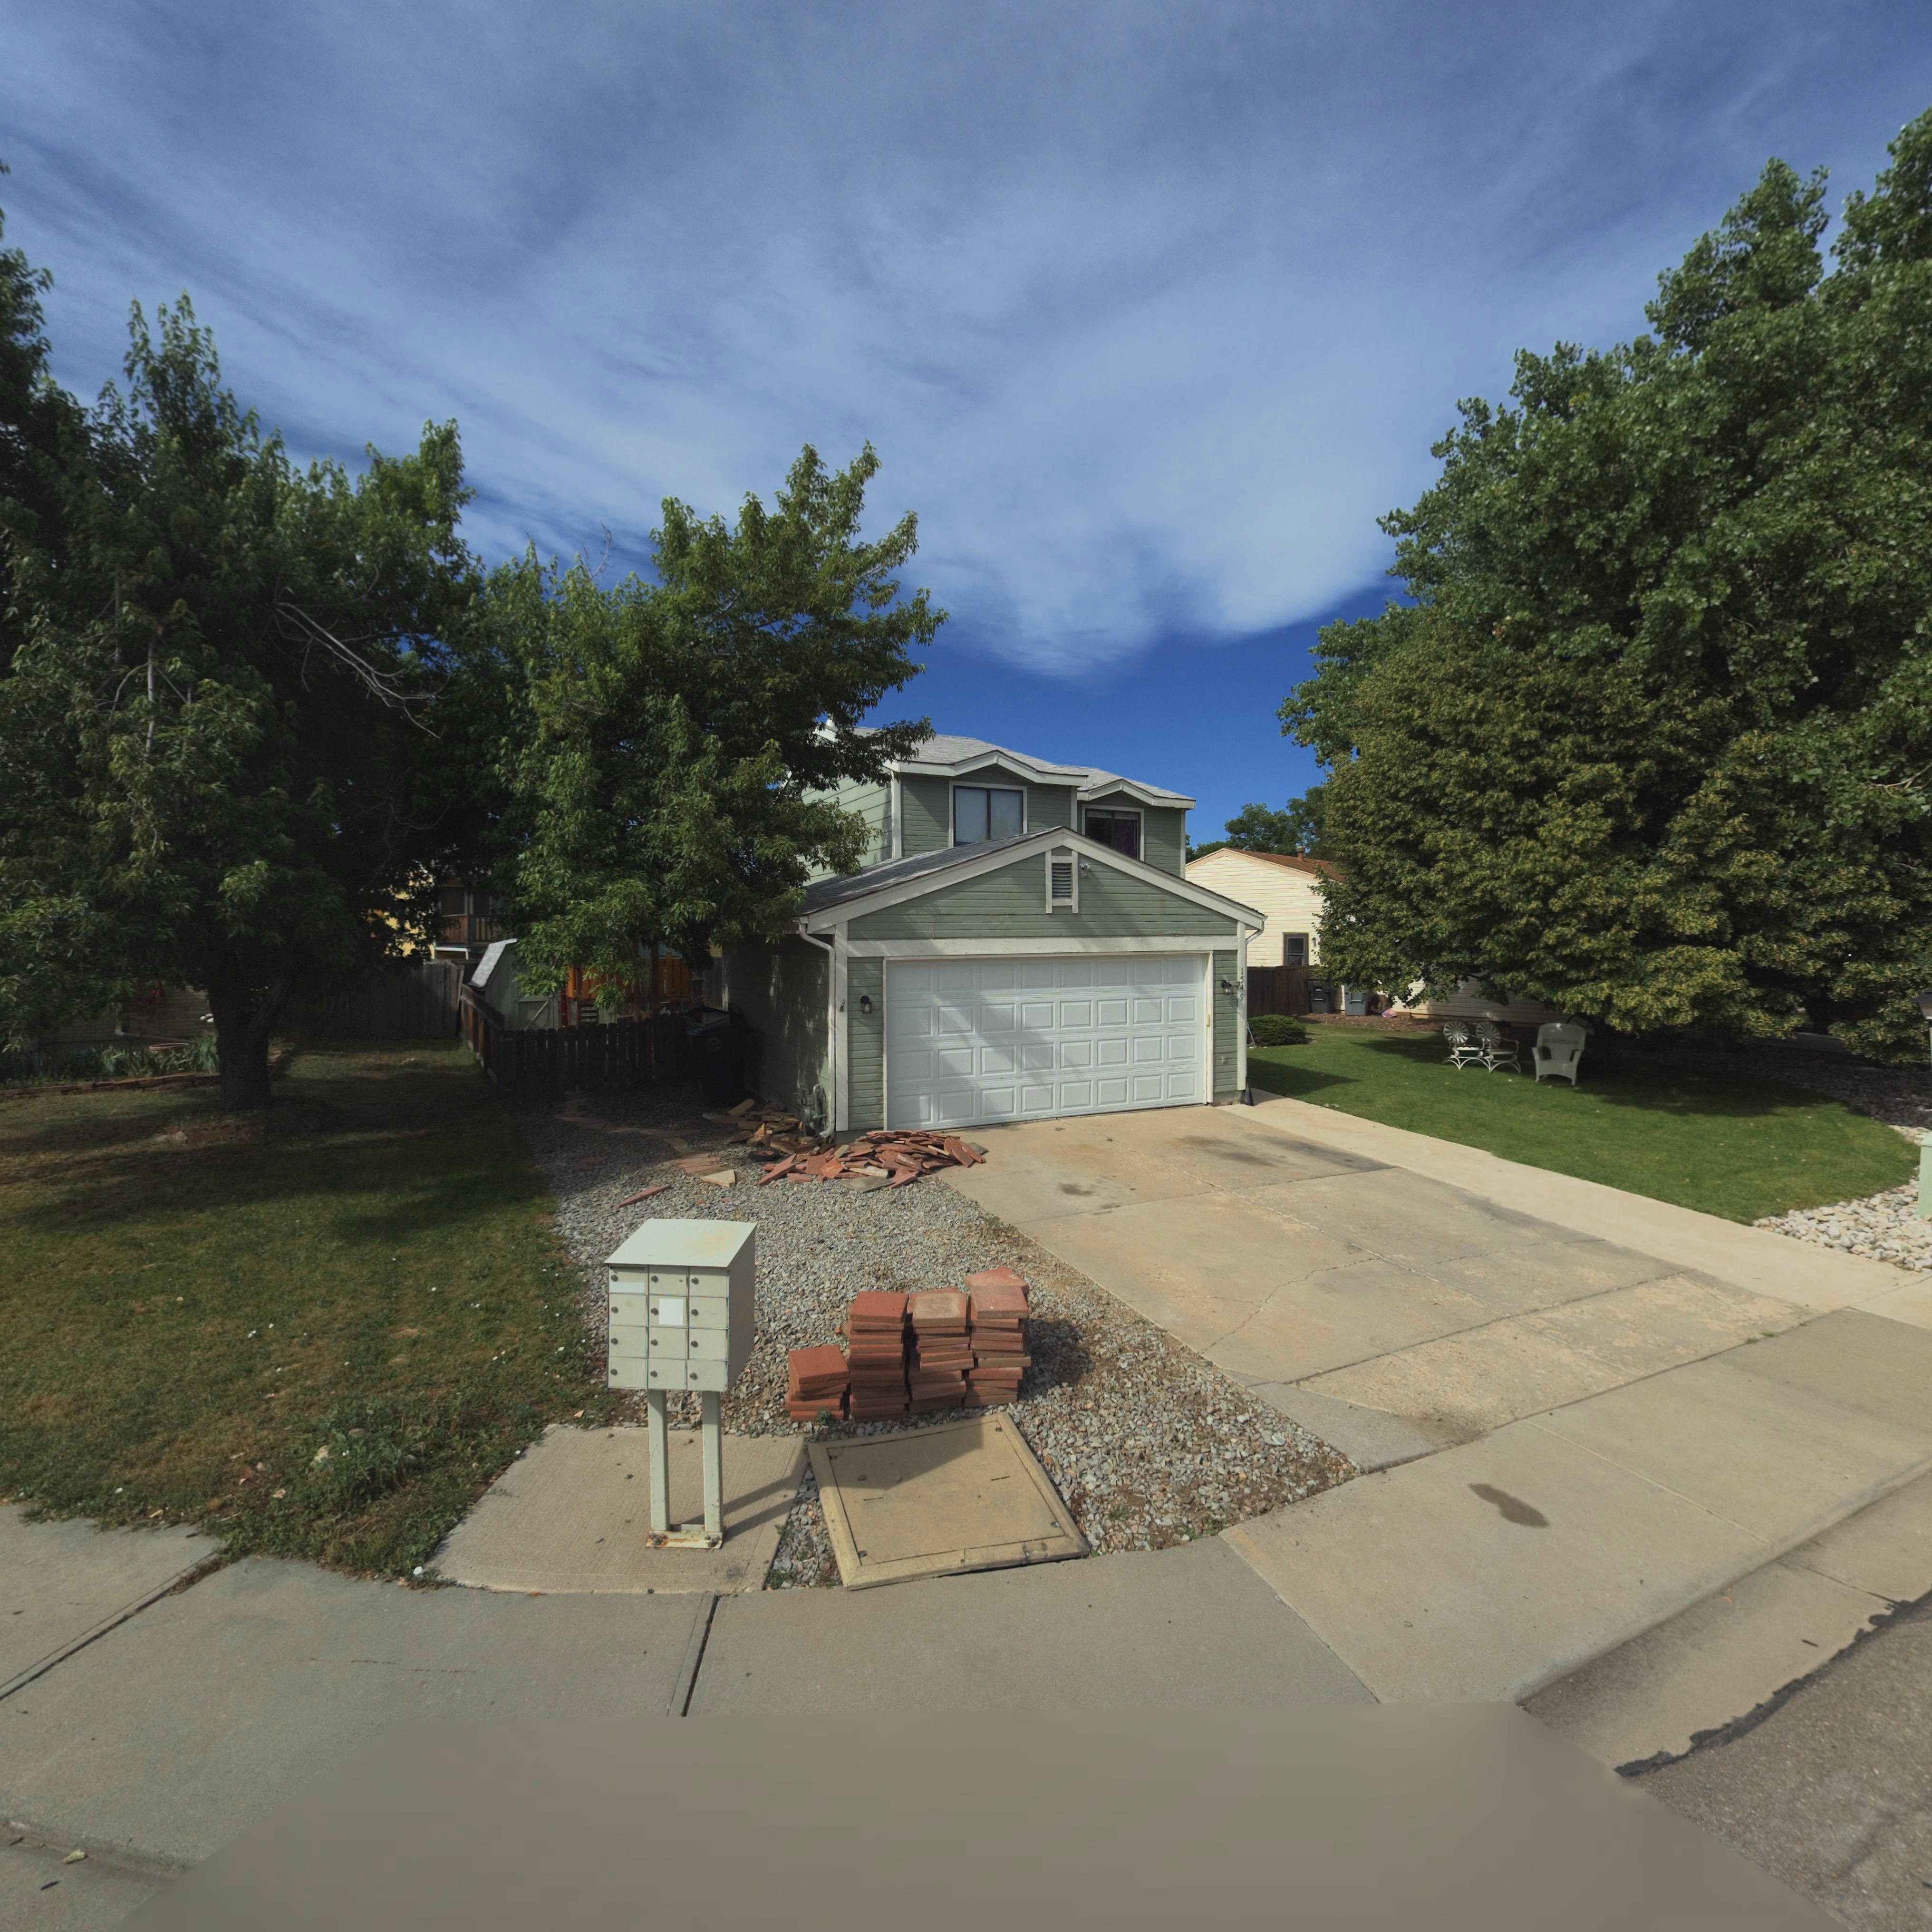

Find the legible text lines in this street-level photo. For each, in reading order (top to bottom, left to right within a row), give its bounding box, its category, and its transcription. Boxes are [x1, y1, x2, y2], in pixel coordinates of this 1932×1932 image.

[1240, 967, 1245, 1001] StreetNumber: 1549